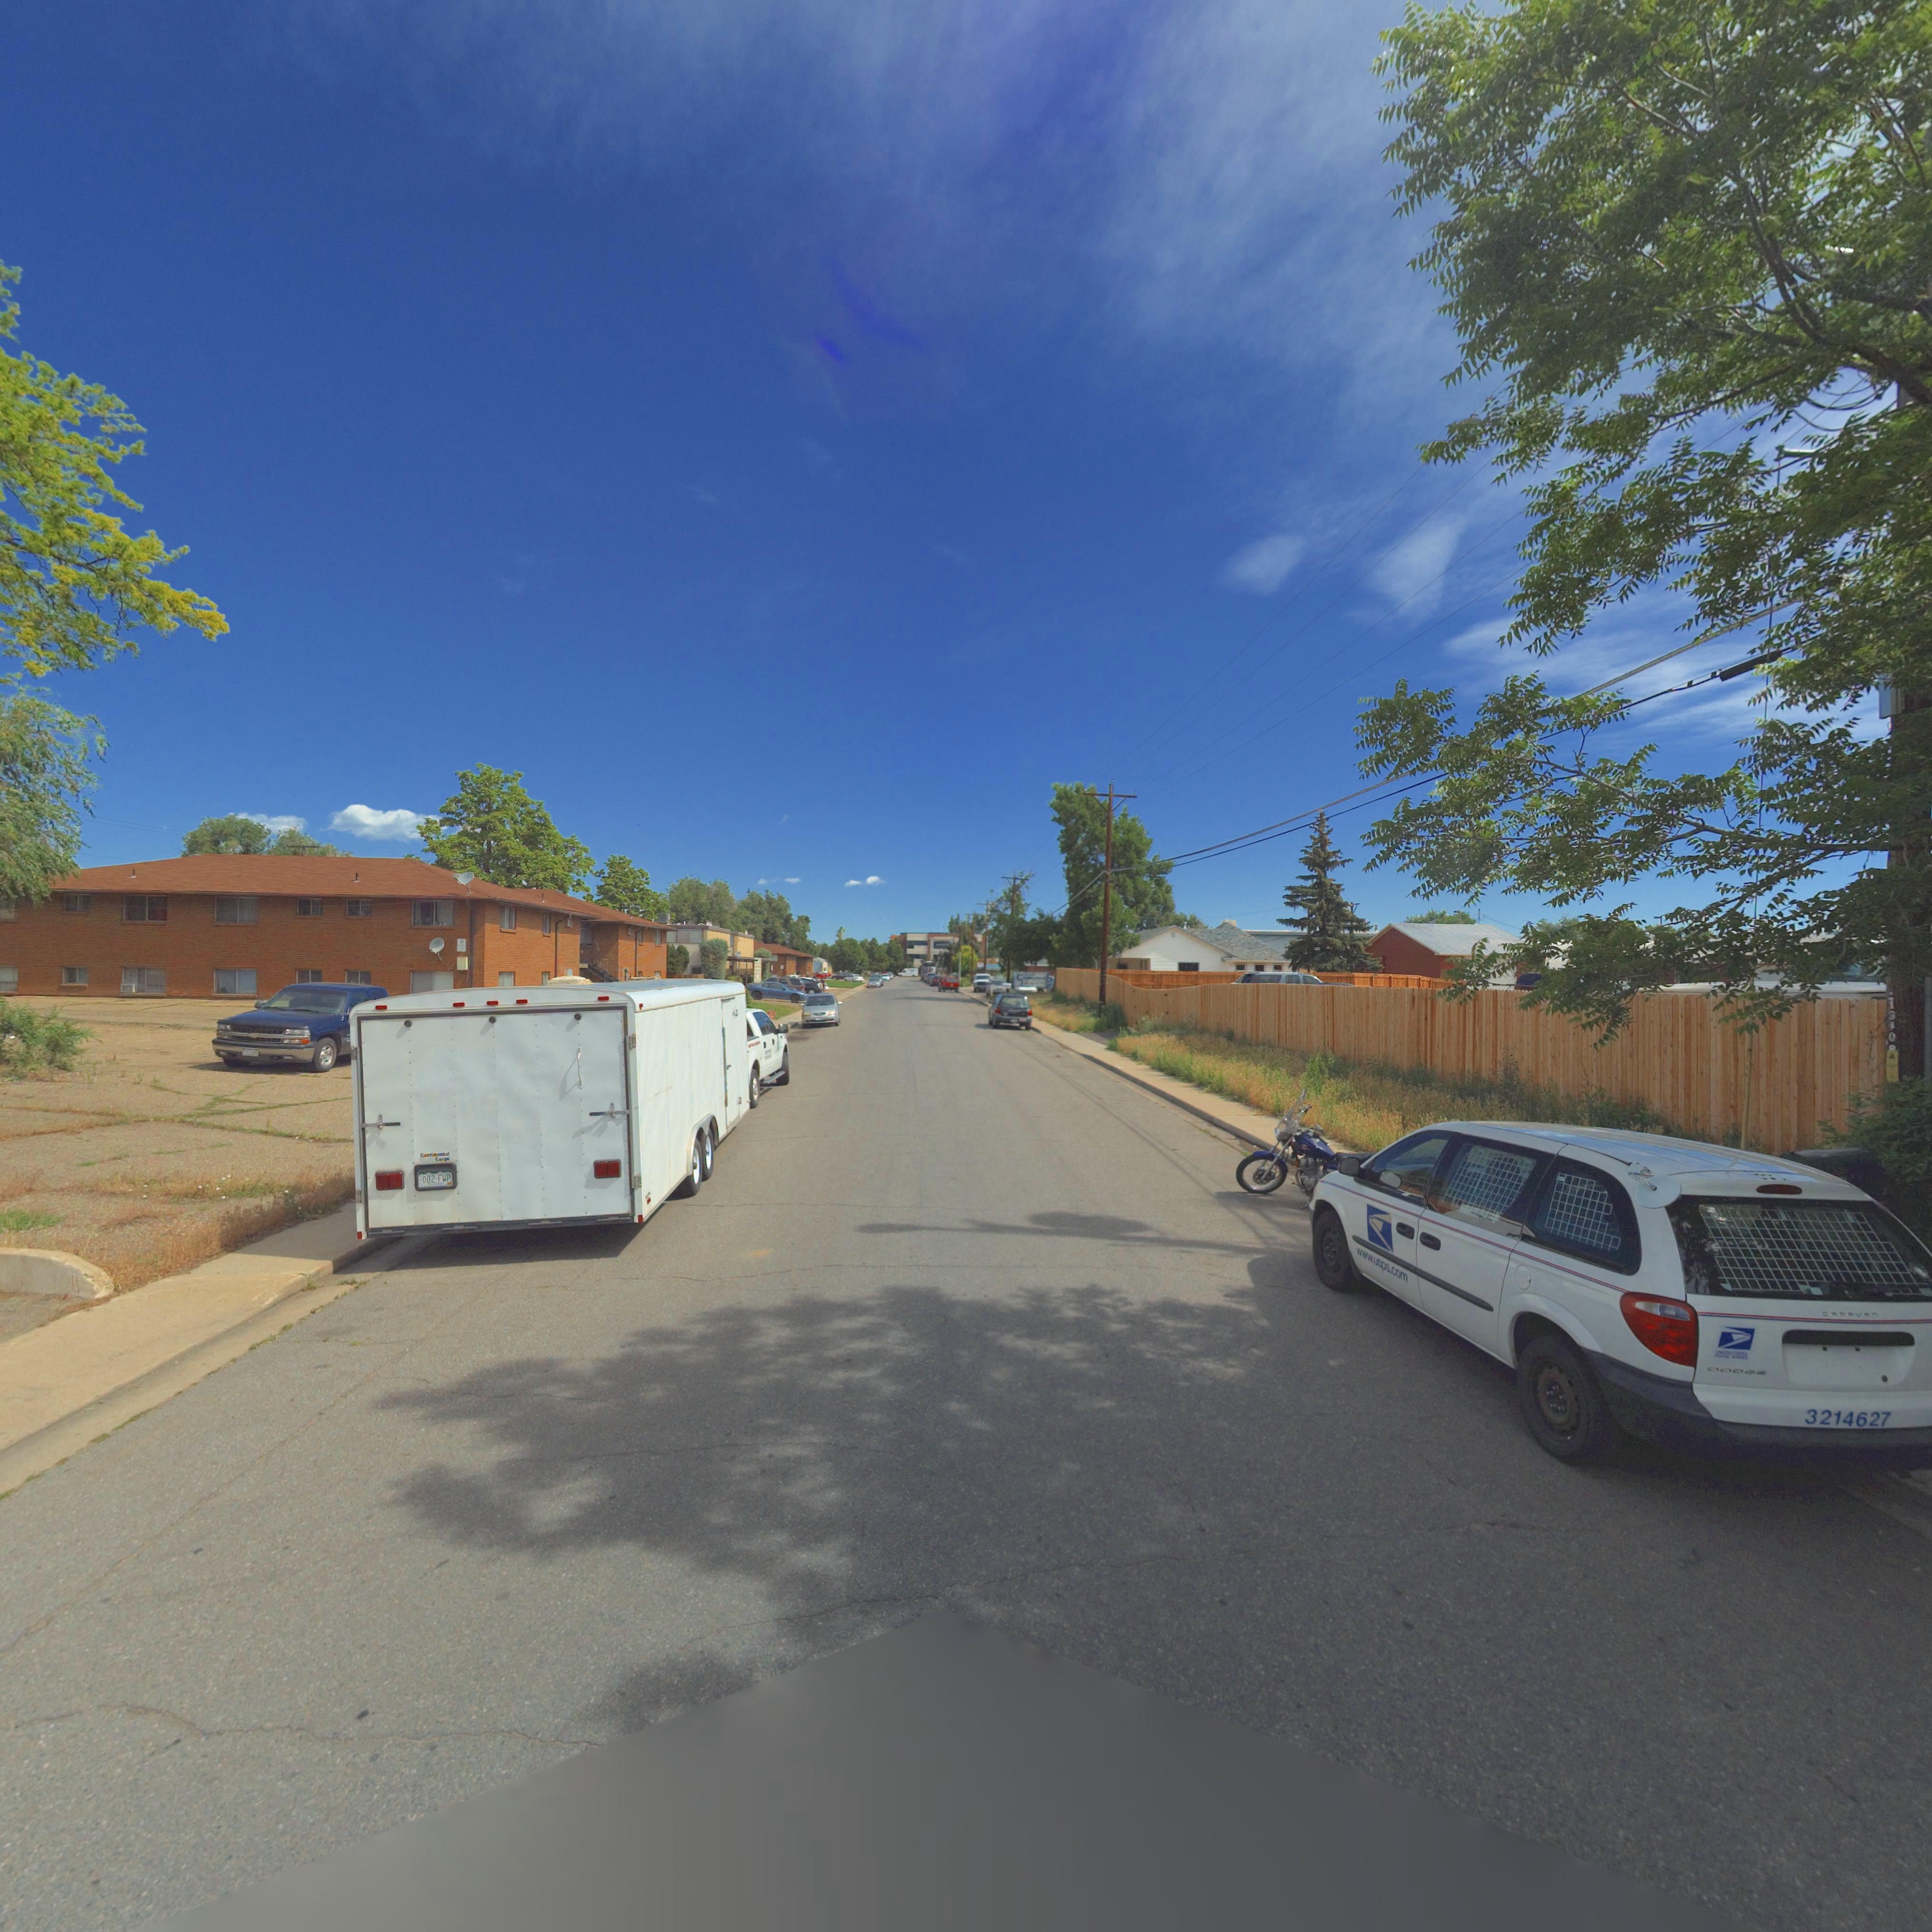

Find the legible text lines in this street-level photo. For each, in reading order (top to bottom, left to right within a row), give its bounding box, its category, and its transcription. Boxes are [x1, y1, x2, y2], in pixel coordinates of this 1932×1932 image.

[1016, 974, 1045, 981] BusinessName: C*******